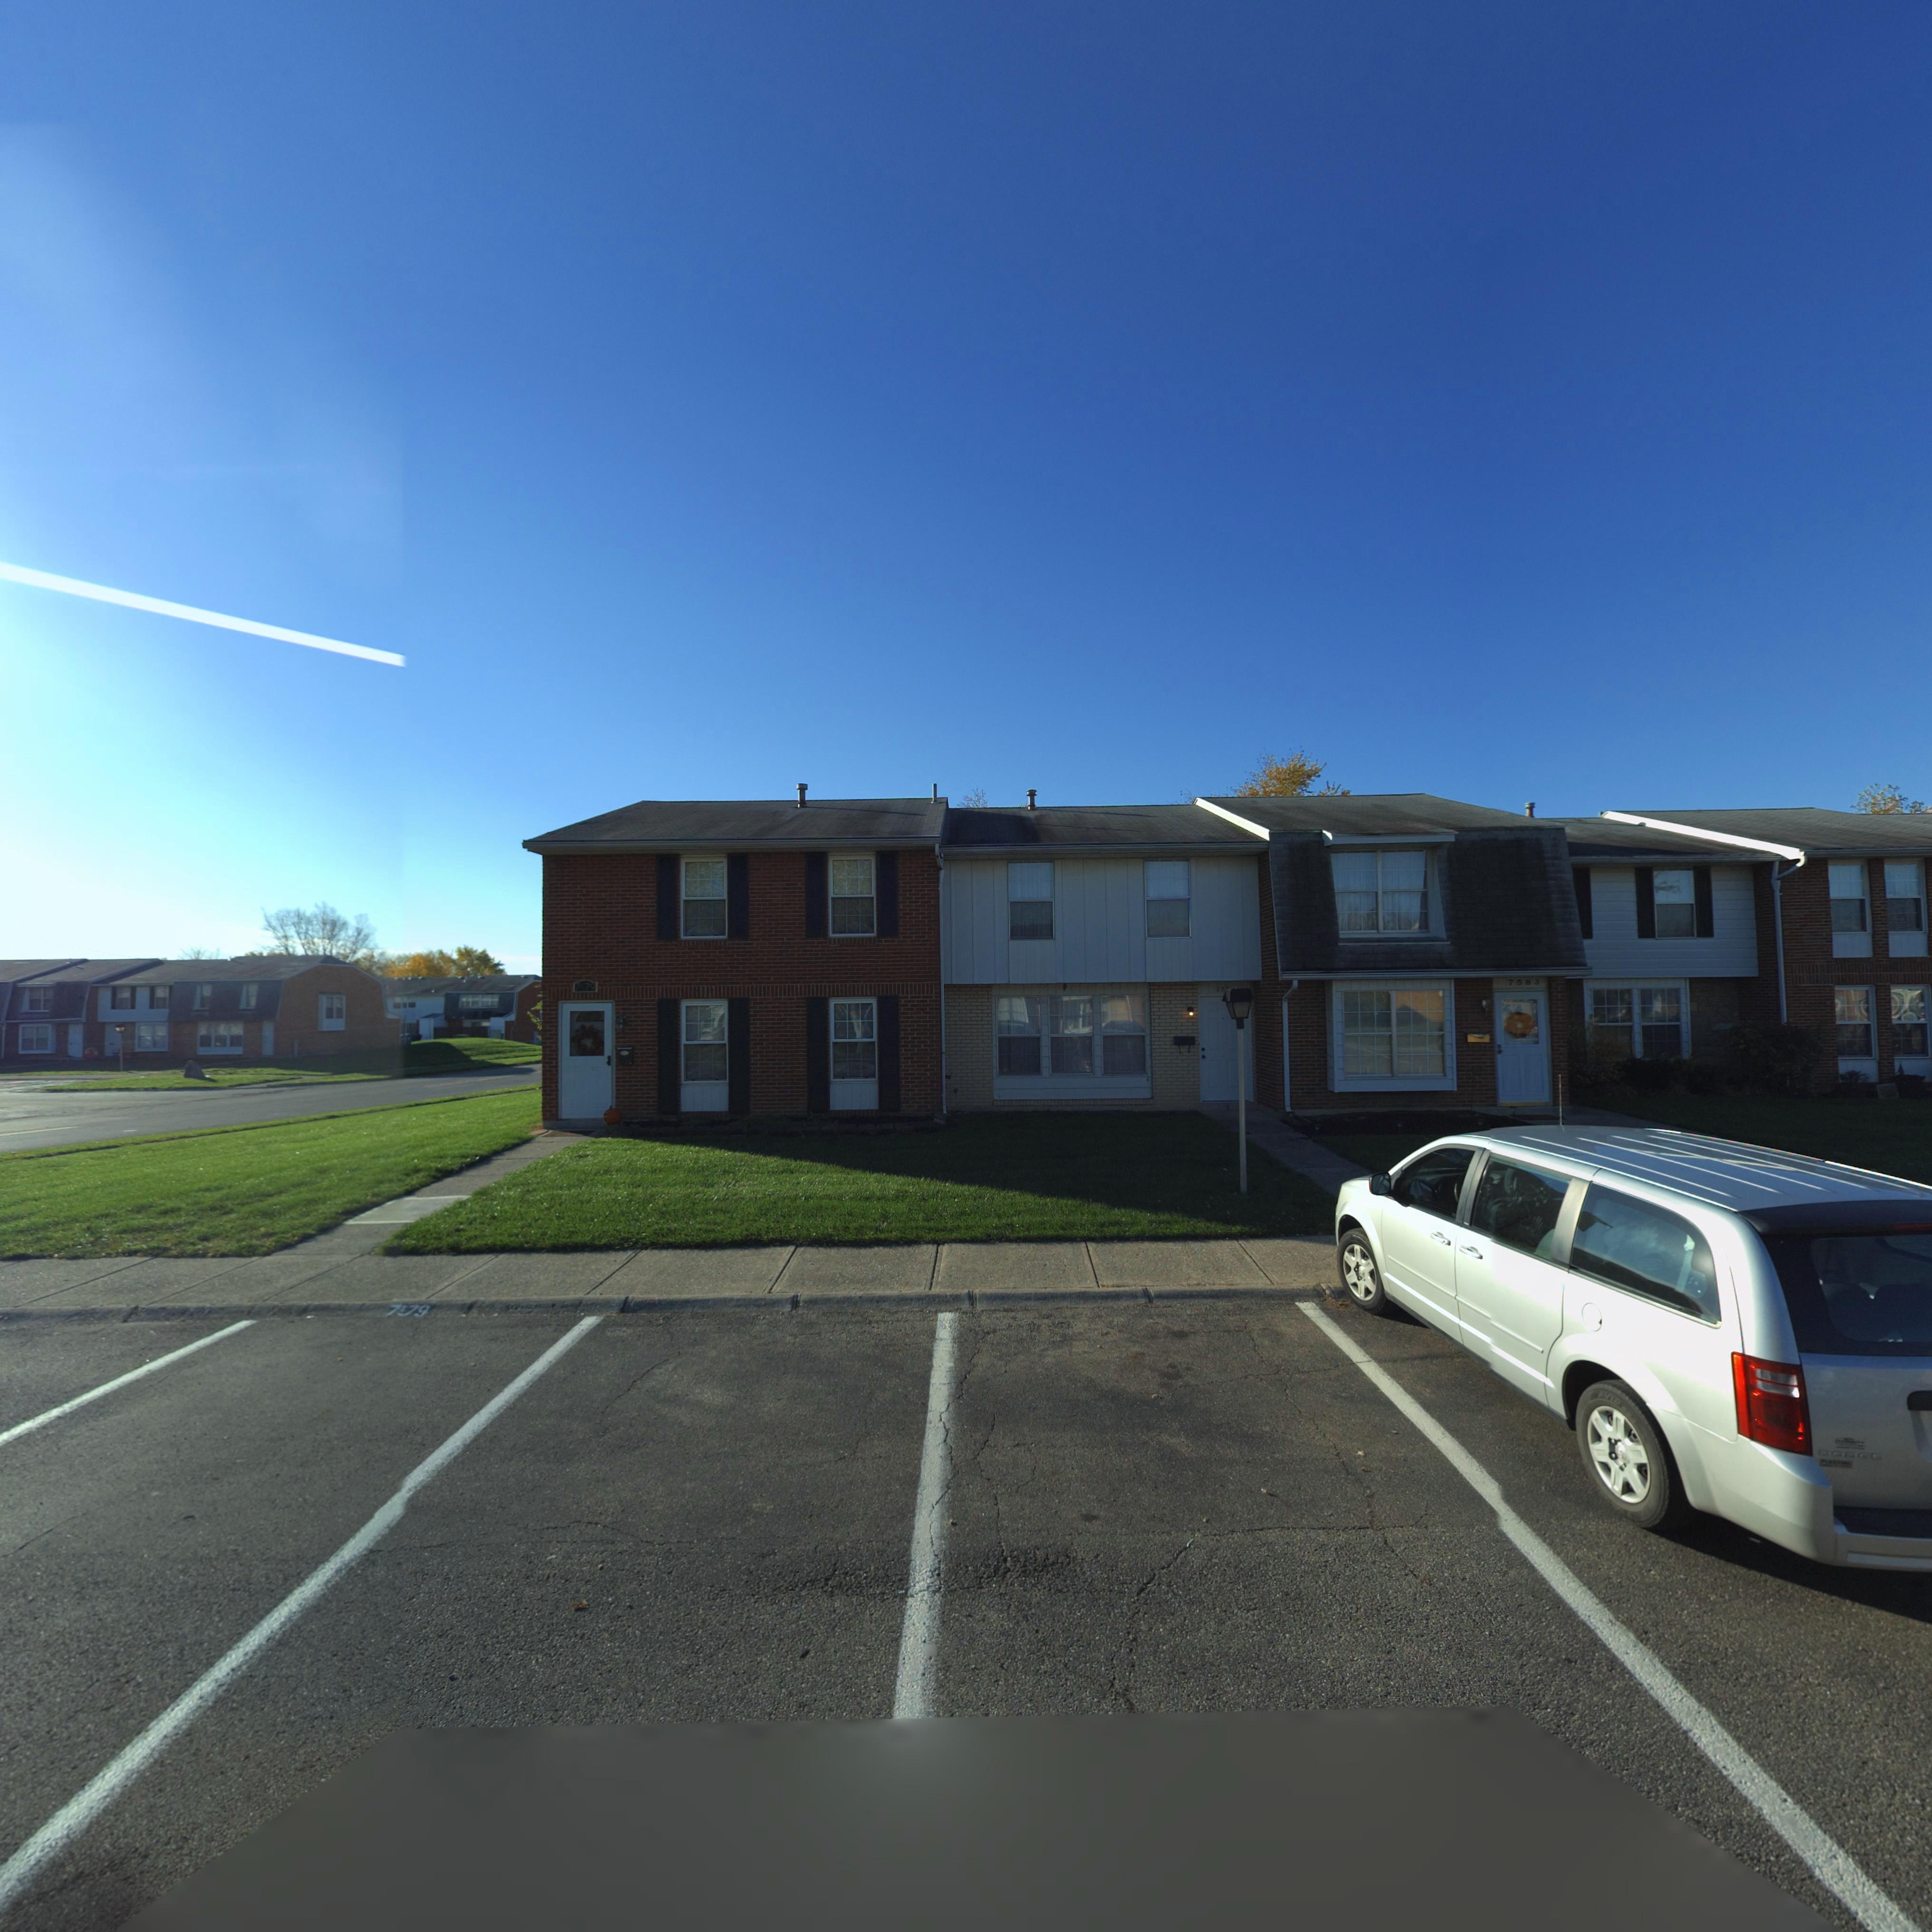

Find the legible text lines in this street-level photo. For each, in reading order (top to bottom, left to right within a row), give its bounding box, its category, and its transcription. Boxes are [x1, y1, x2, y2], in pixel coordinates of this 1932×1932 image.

[1507, 978, 1540, 986] StreetNumber: 7583
[574, 983, 596, 992] StreetNumber: 7579
[1215, 986, 1225, 992] StreetNumber: 75
[383, 1303, 432, 1318] StreetNumber: 7*79